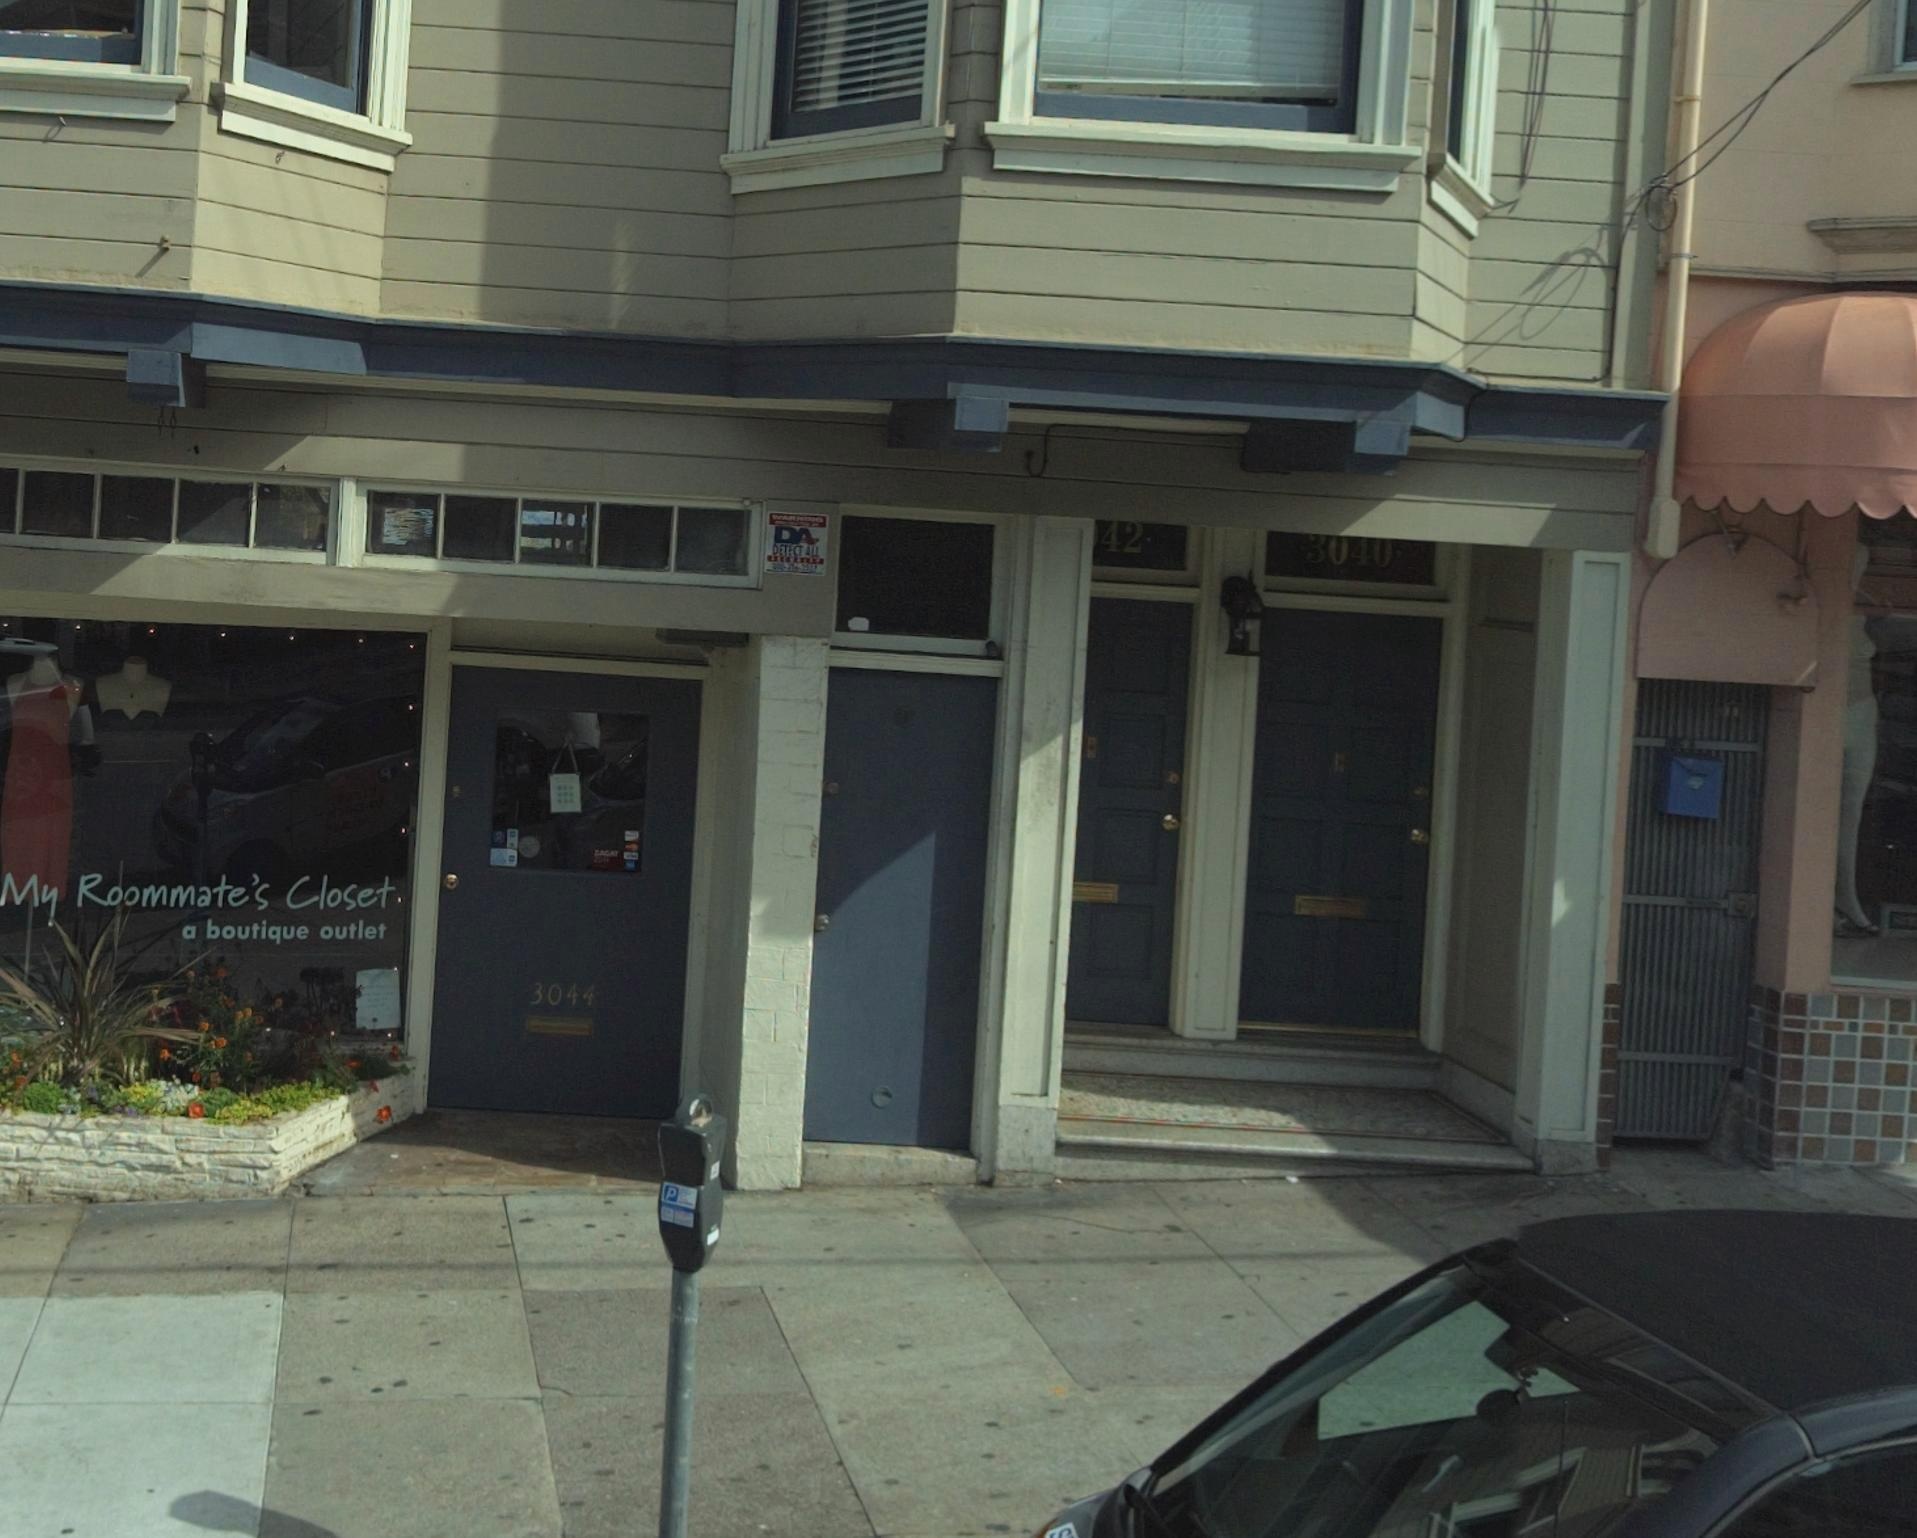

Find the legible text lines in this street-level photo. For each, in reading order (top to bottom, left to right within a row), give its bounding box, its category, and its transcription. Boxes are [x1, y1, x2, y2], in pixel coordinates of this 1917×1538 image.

[772, 523, 819, 546] None: DA
[770, 543, 822, 558] None: DETECT ALL
[1097, 515, 1149, 558] StreetNumber: 42
[1300, 530, 1398, 571] StreetNumber: 304*
[0, 867, 398, 929] BusinessName: My Roommate's Closet
[178, 915, 390, 948] None: a boutique outlet
[526, 978, 599, 1010] StreetNumber: 3044